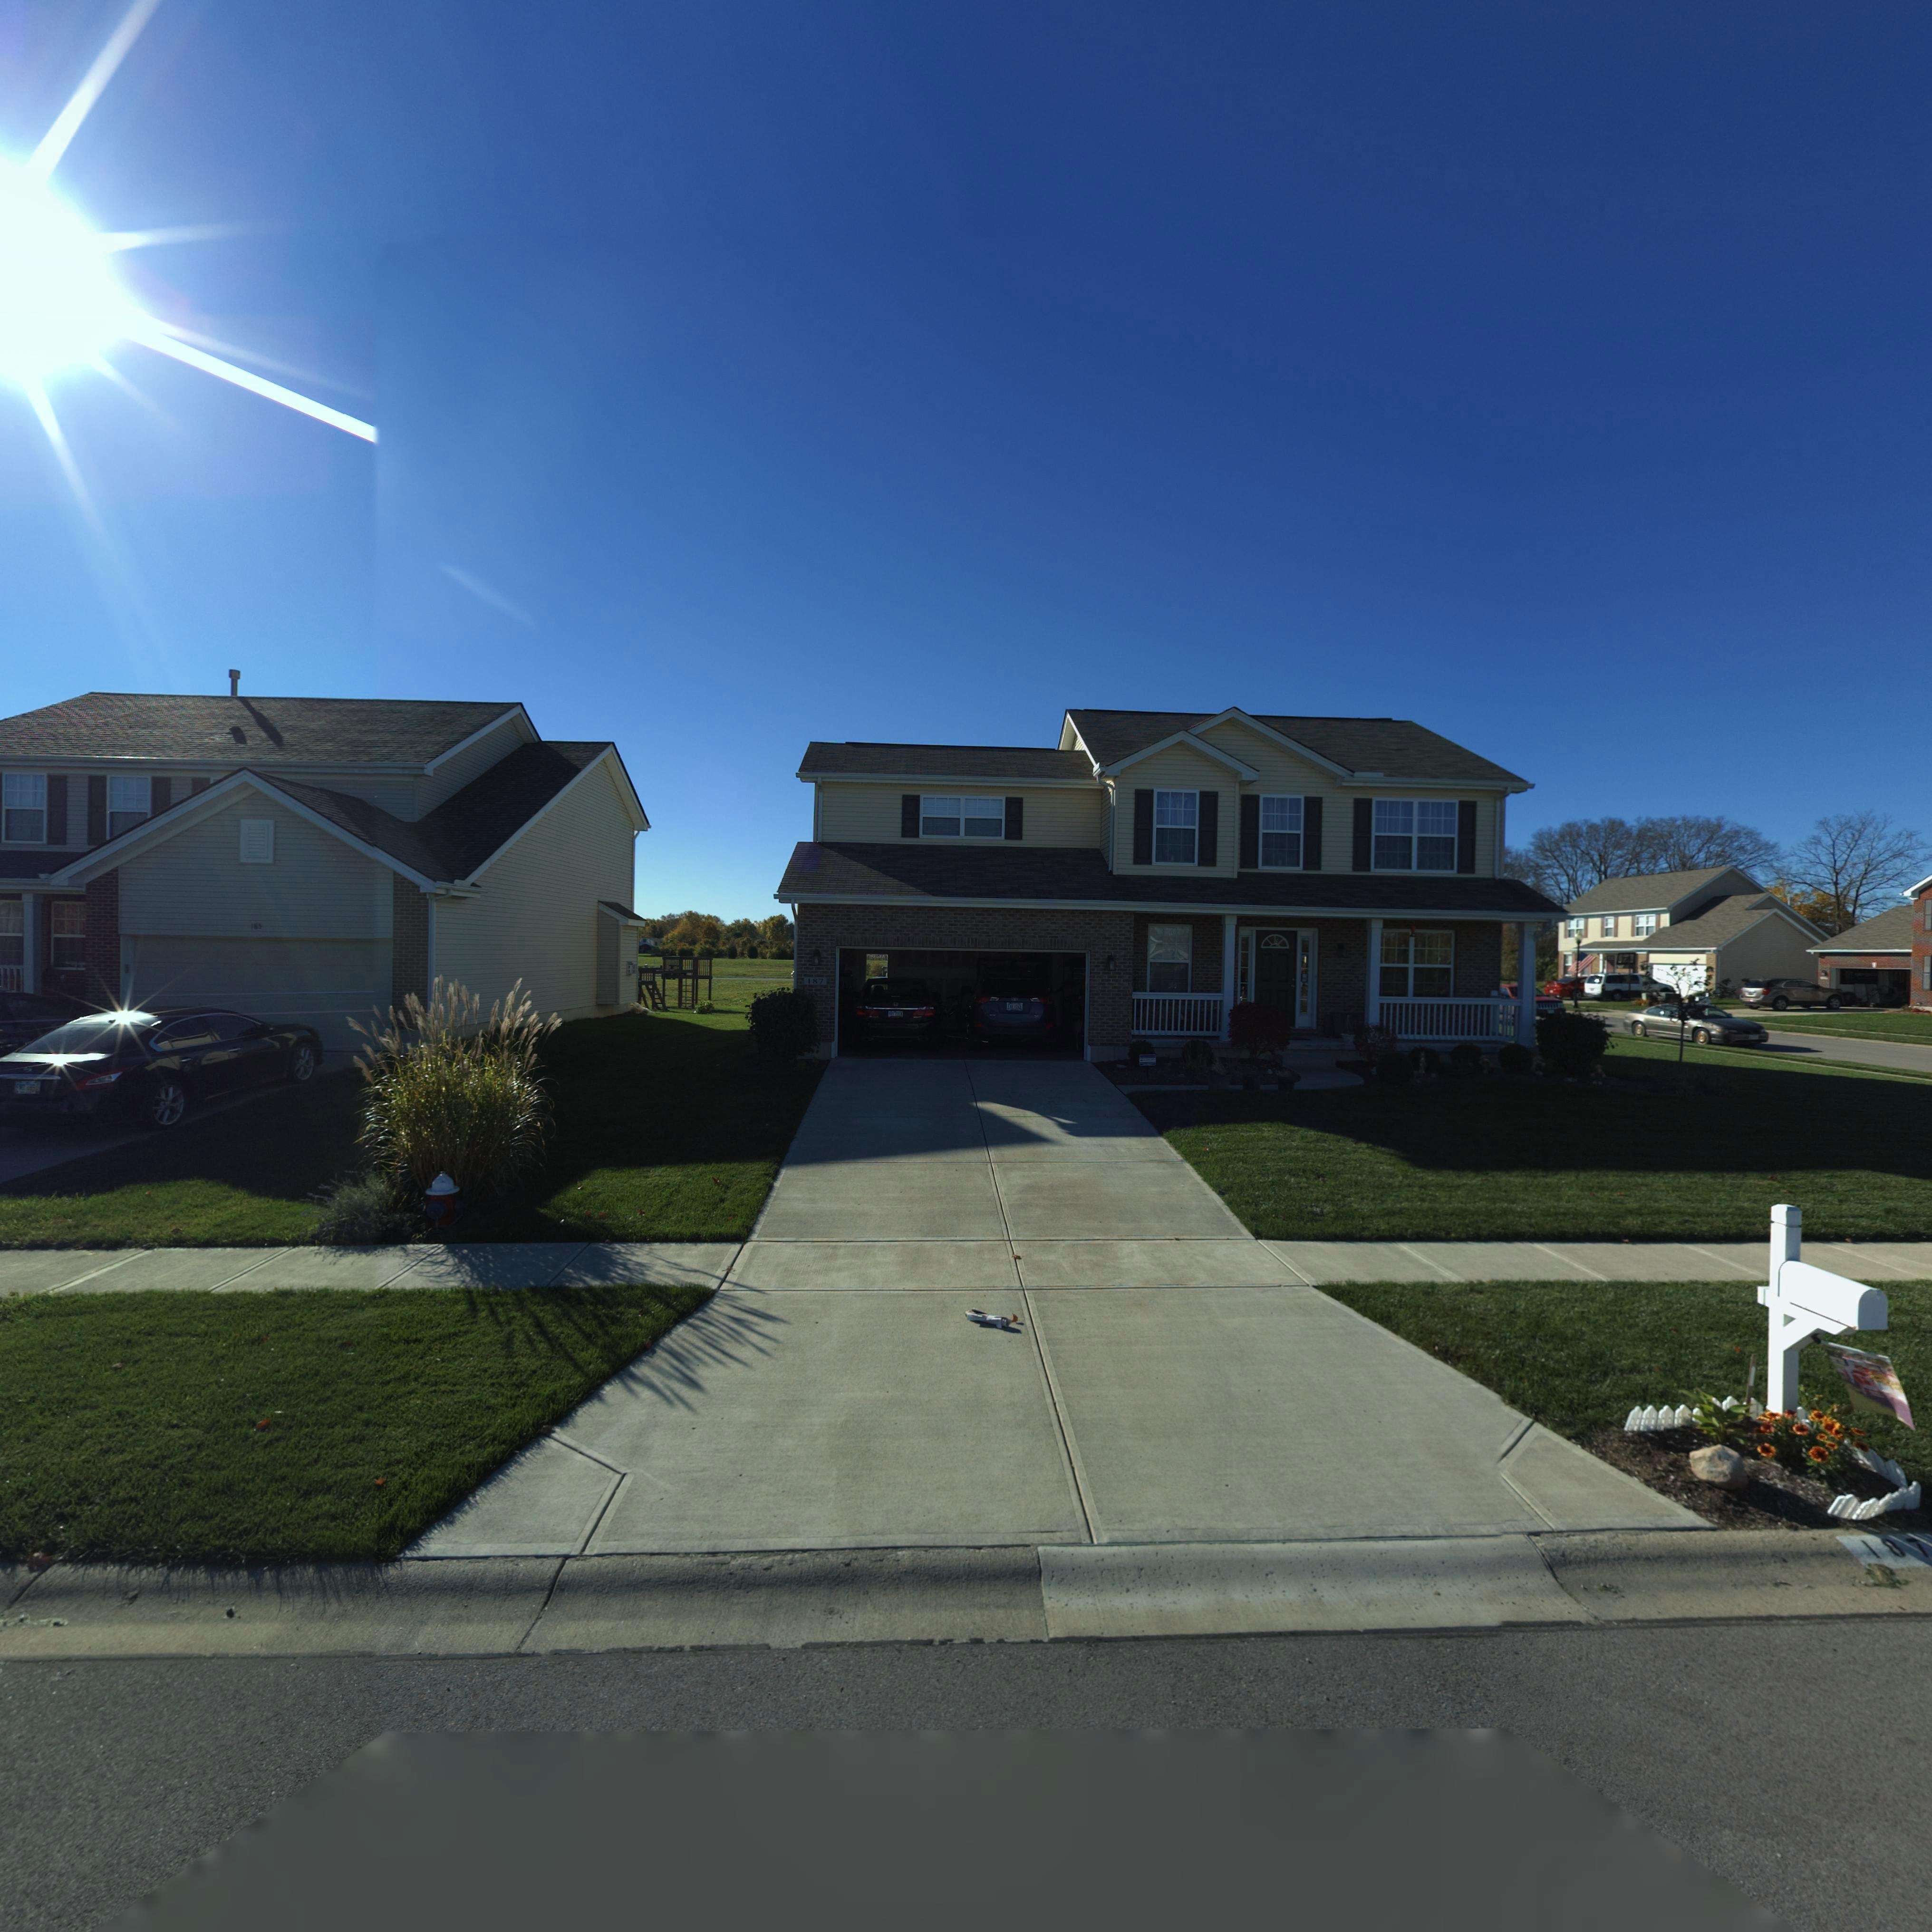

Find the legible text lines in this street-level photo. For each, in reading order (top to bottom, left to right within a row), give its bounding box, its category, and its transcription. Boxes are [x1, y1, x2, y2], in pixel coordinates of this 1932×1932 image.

[250, 922, 262, 929] StreetNumber: 185
[807, 977, 824, 985] StreetNumber: 187
[1857, 1536, 1932, 1561] StreetNumber: 187